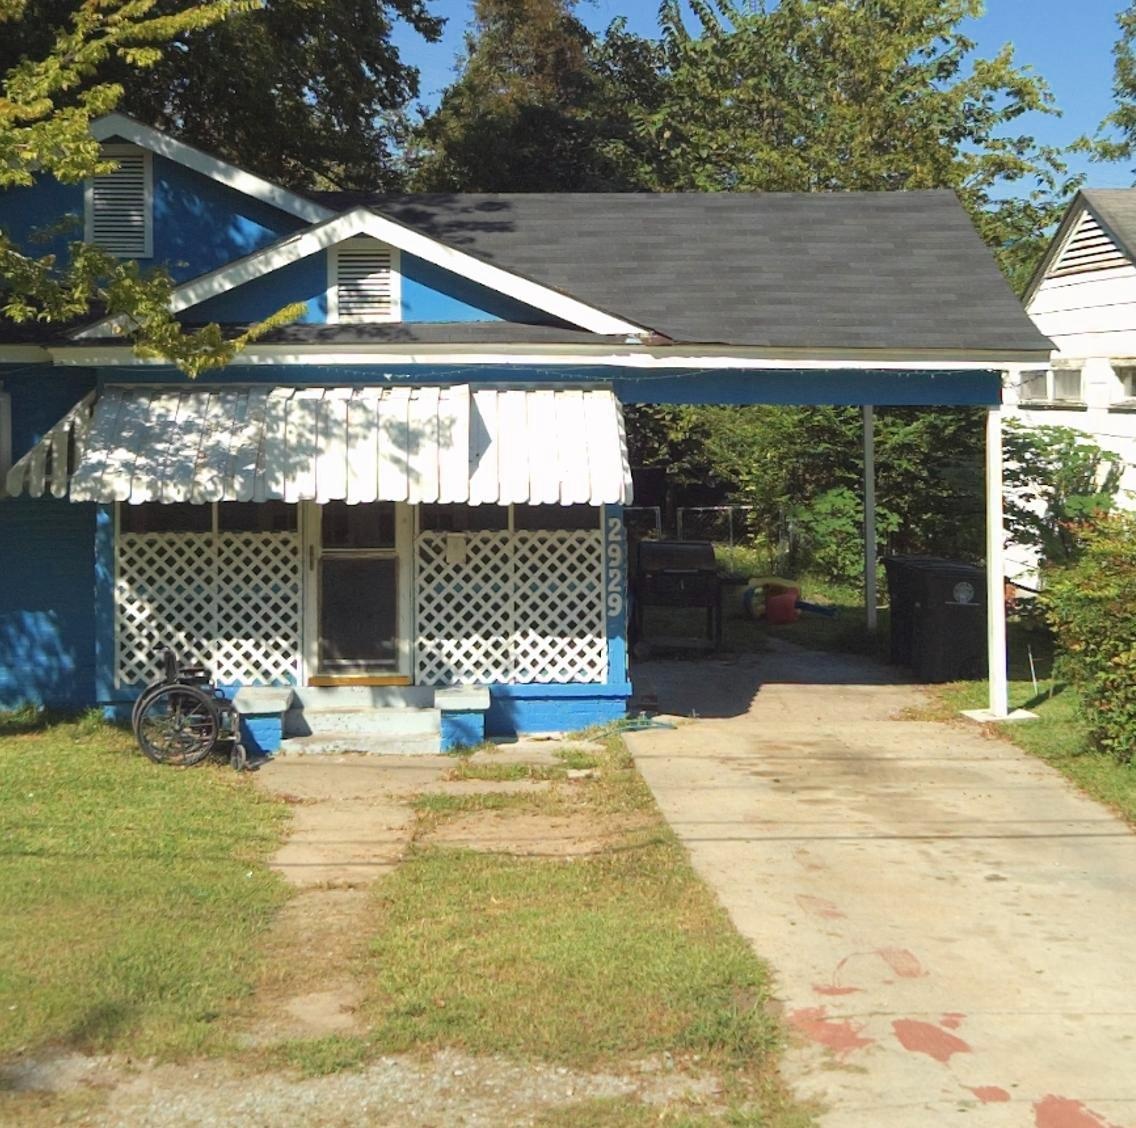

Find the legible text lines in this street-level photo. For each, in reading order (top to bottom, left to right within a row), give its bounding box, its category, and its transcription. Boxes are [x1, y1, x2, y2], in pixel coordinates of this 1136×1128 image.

[606, 515, 623, 618] StreetNumber: 2929